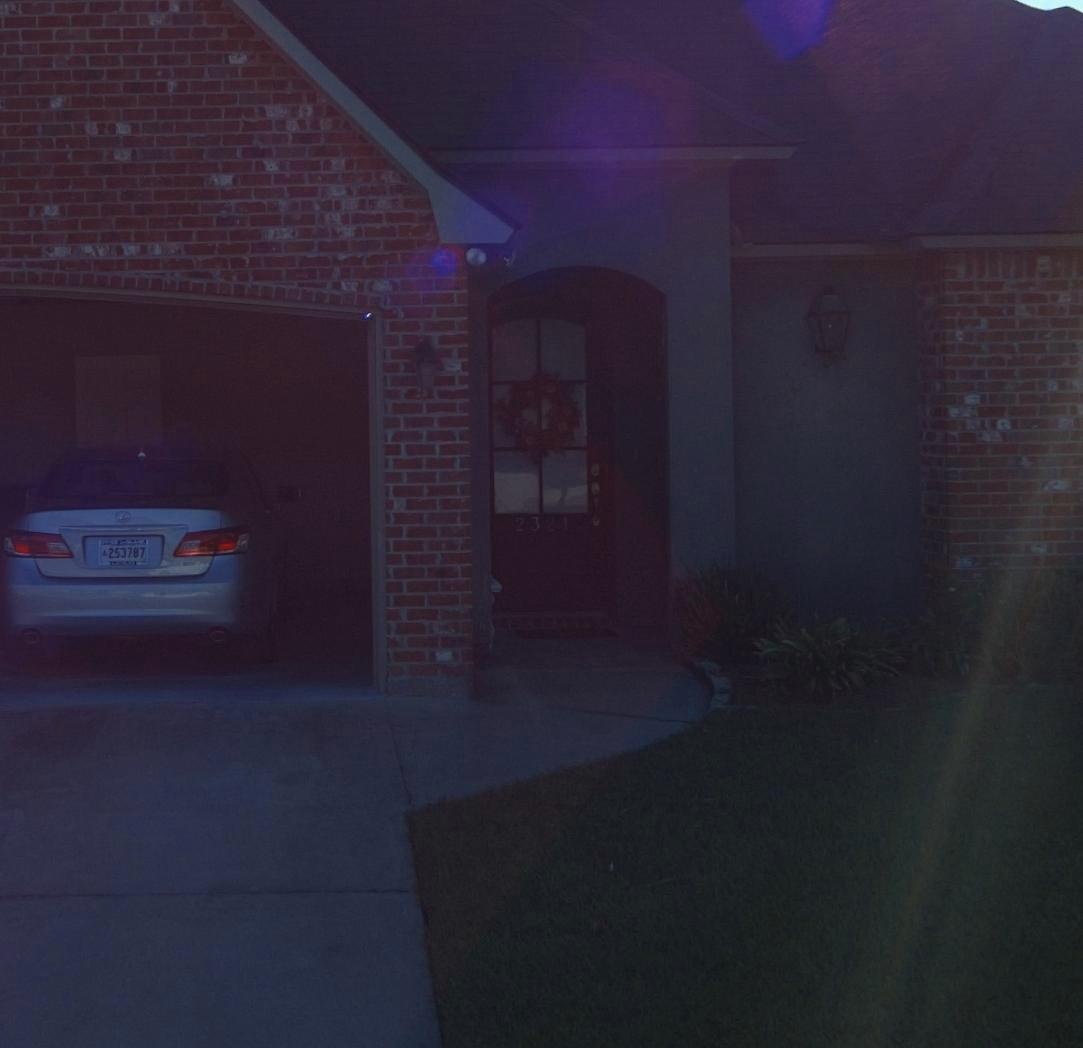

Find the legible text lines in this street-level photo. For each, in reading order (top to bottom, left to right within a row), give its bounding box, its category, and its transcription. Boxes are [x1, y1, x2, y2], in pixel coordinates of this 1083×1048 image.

[512, 514, 571, 535] StreetNumber: 2321